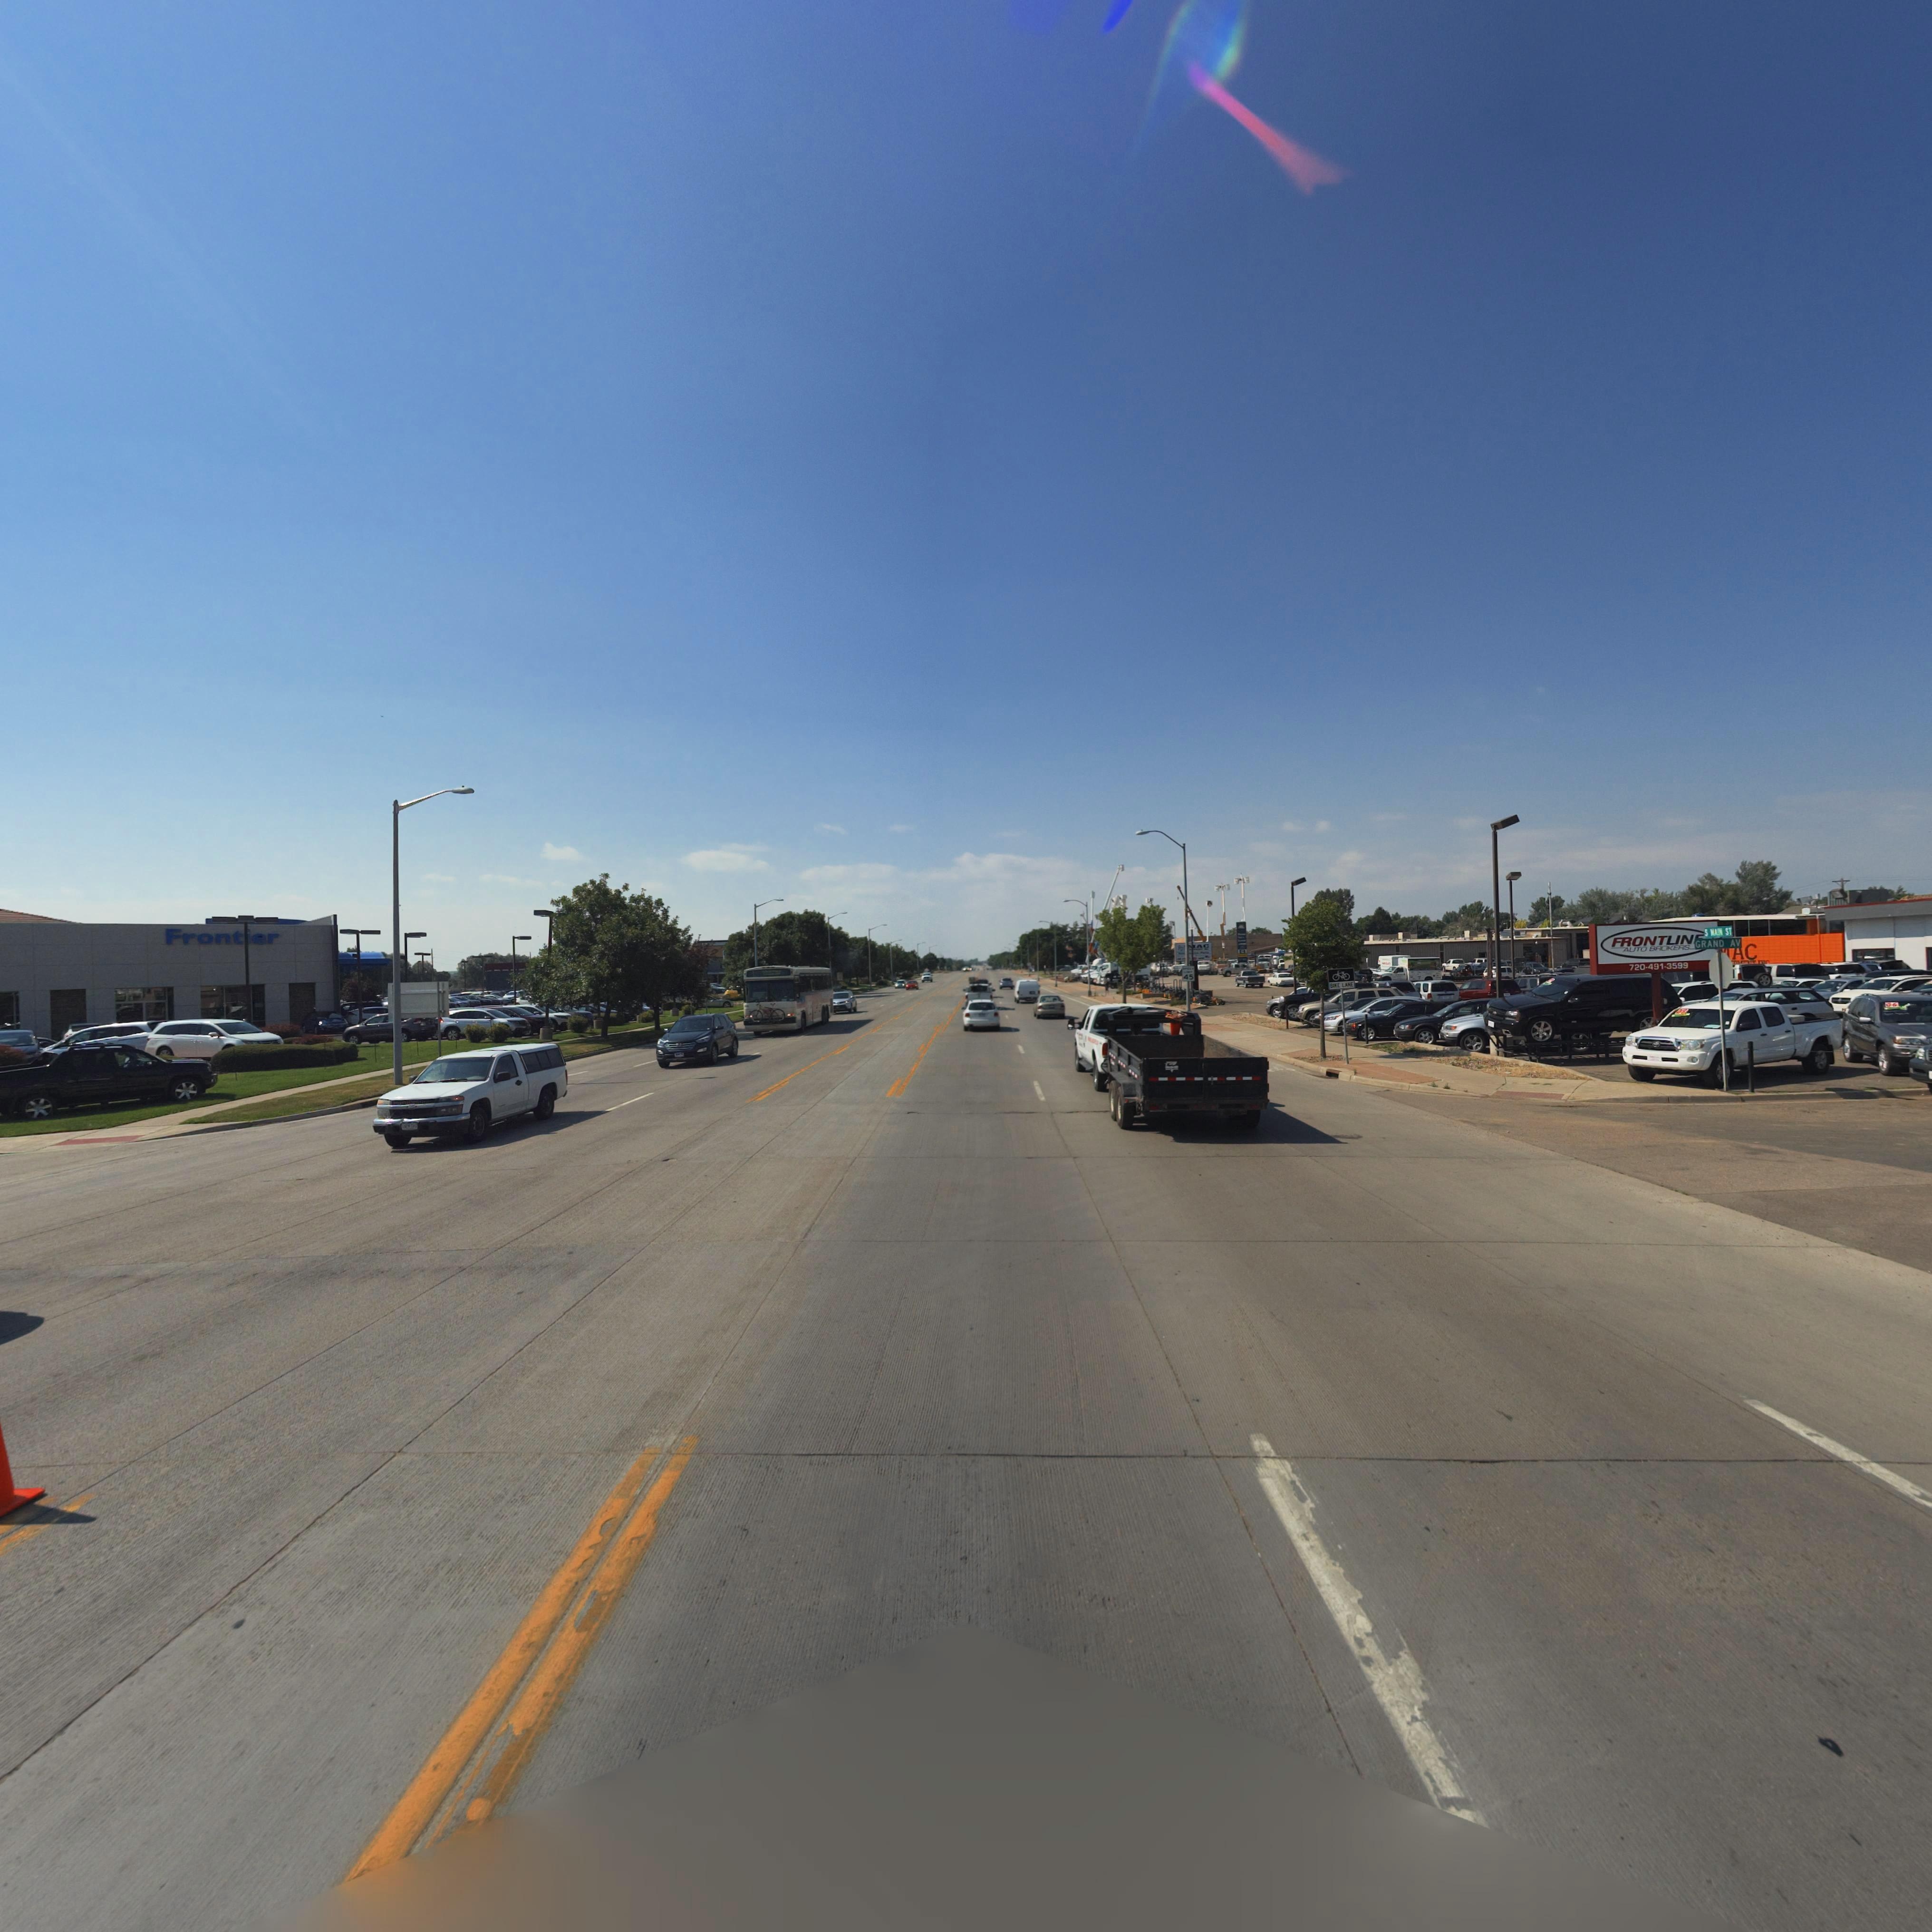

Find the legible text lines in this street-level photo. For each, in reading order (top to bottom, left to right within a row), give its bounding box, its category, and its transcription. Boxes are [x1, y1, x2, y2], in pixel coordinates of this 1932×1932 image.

[165, 928, 281, 945] BusinessName: Front*er
[1611, 934, 1694, 947] BusinessName: FRONTLIN
[1622, 945, 1690, 952] BusinessName: AUTO BROKERS
[1704, 927, 1732, 937] StreetName: S MAIN ST
[1695, 938, 1741, 948] StreetName: GRAND AV
[1731, 942, 1757, 960] BusinessName: AC